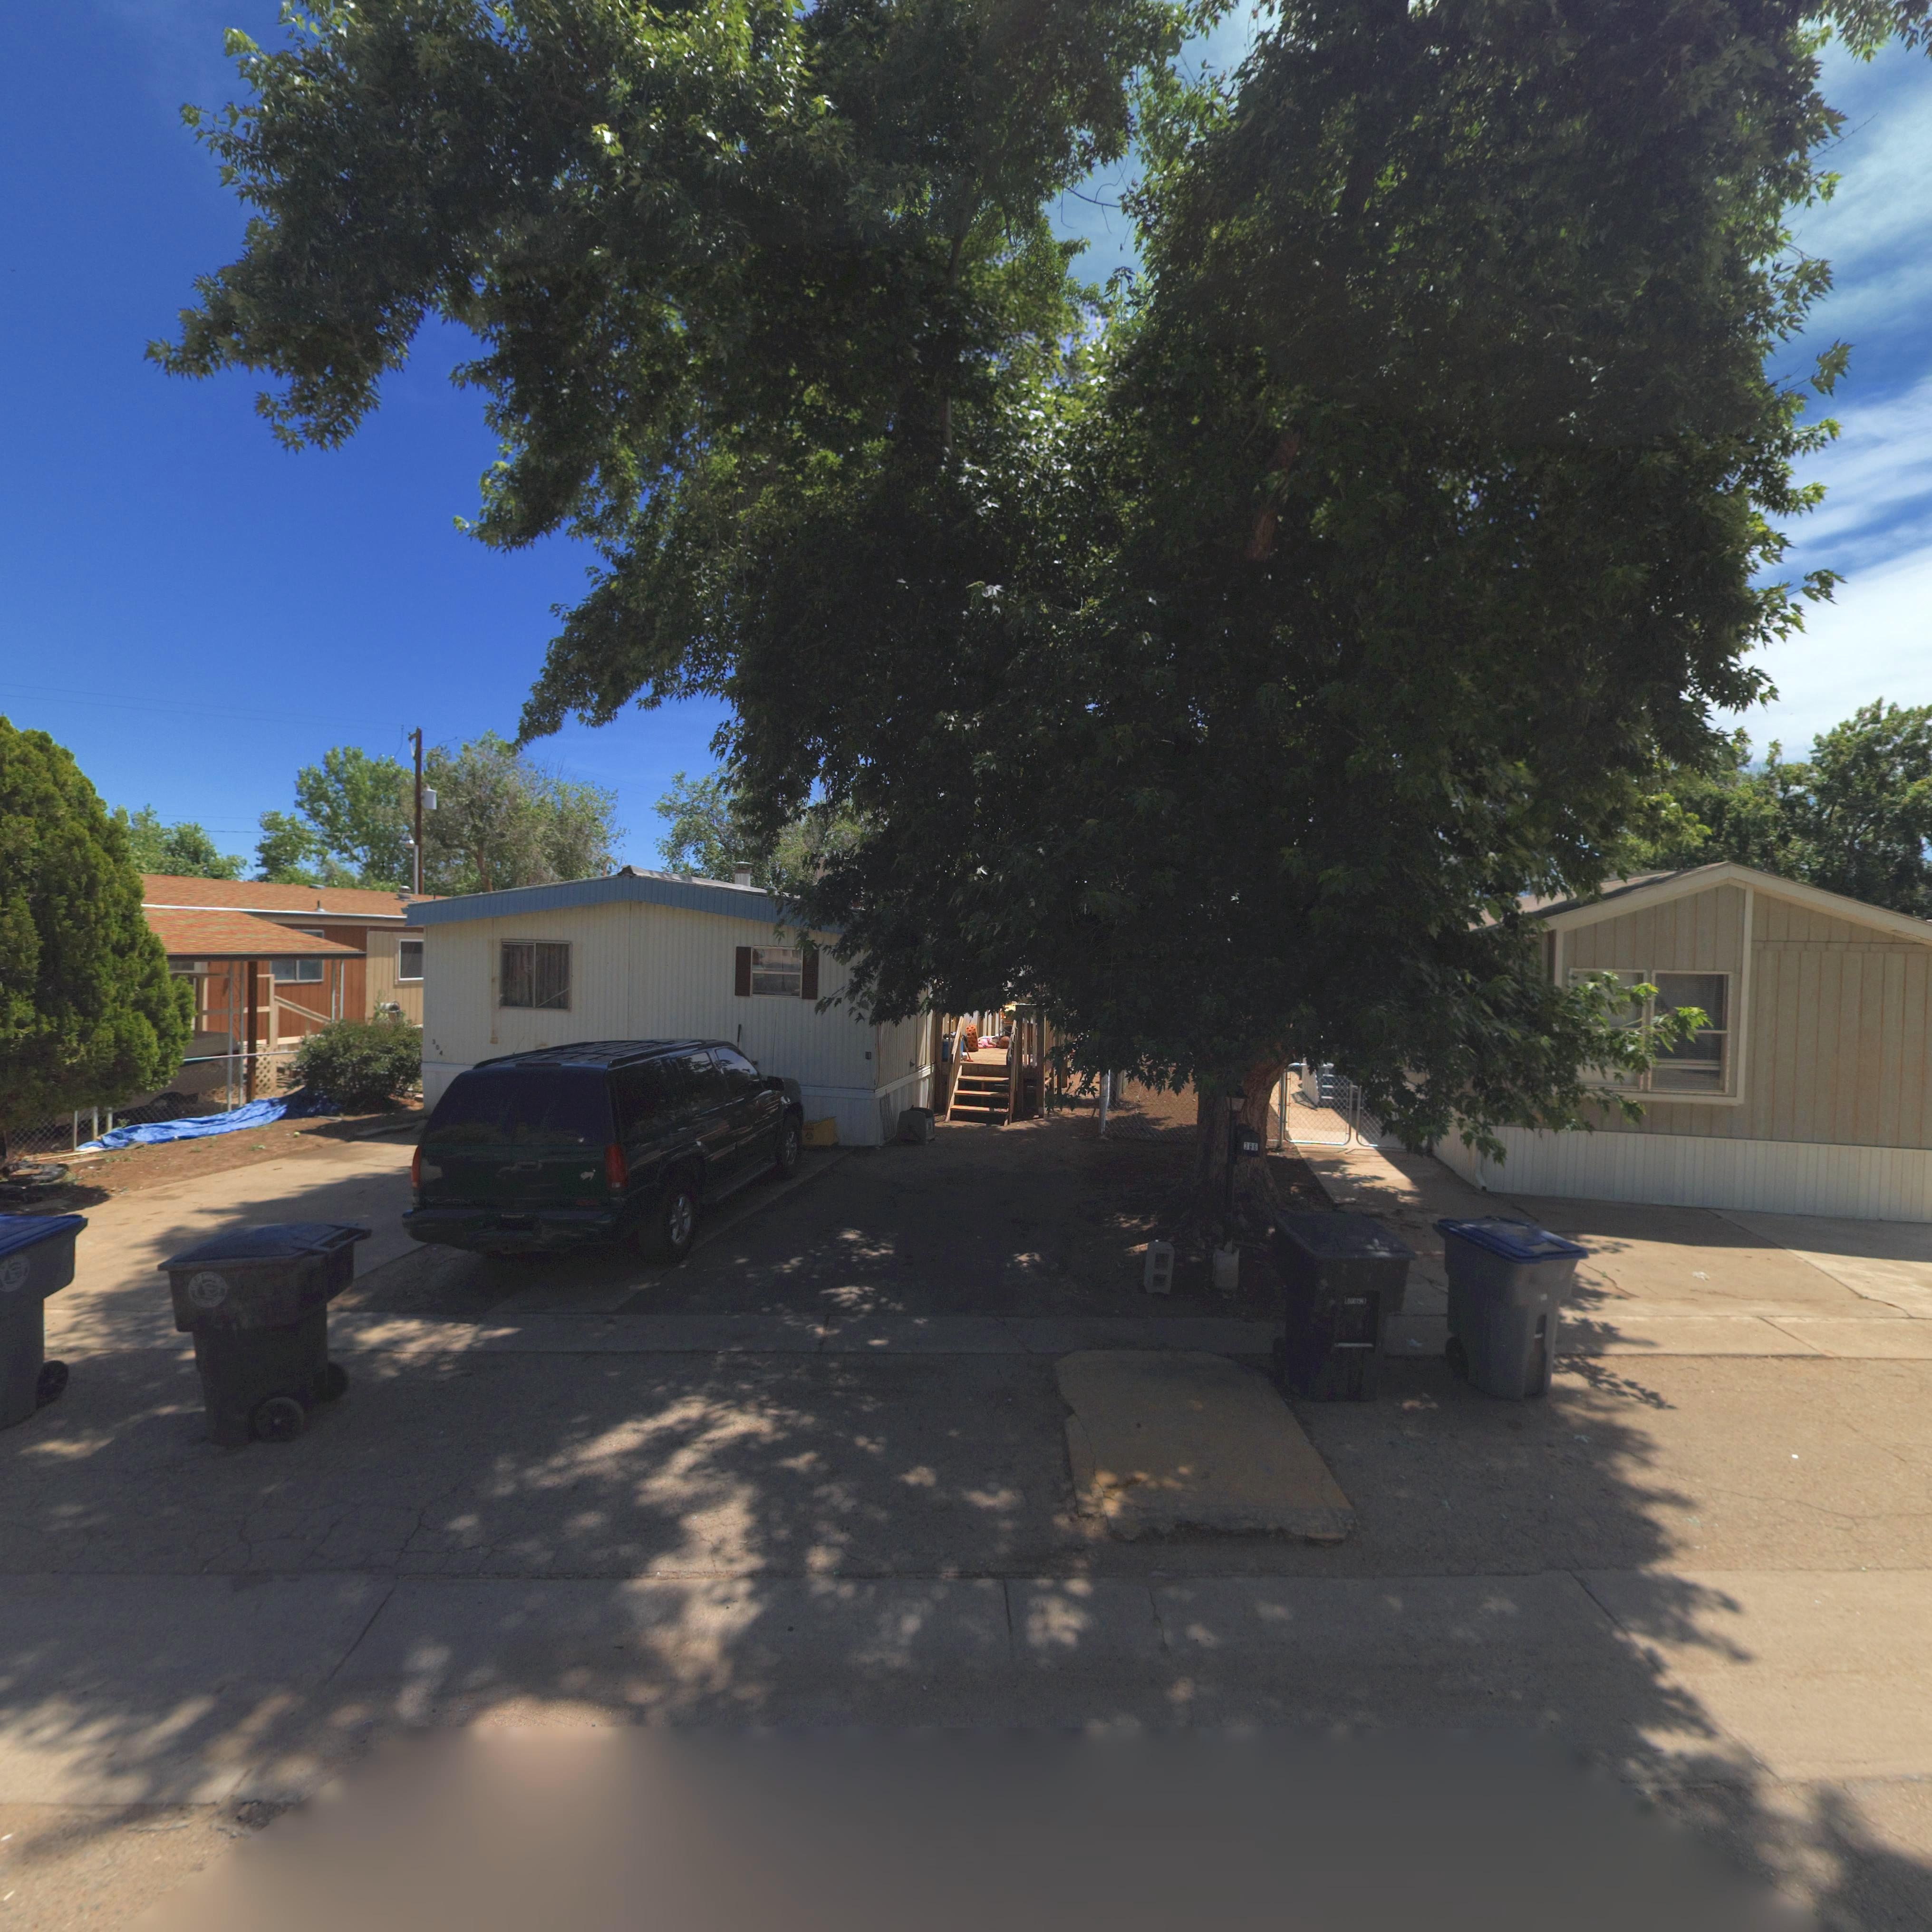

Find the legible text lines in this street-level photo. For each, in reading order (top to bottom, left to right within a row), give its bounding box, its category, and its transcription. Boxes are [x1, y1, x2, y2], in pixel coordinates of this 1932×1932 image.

[431, 1038, 443, 1056] StreetNumber: 304
[1244, 1141, 1257, 1150] StreetNumber: 386